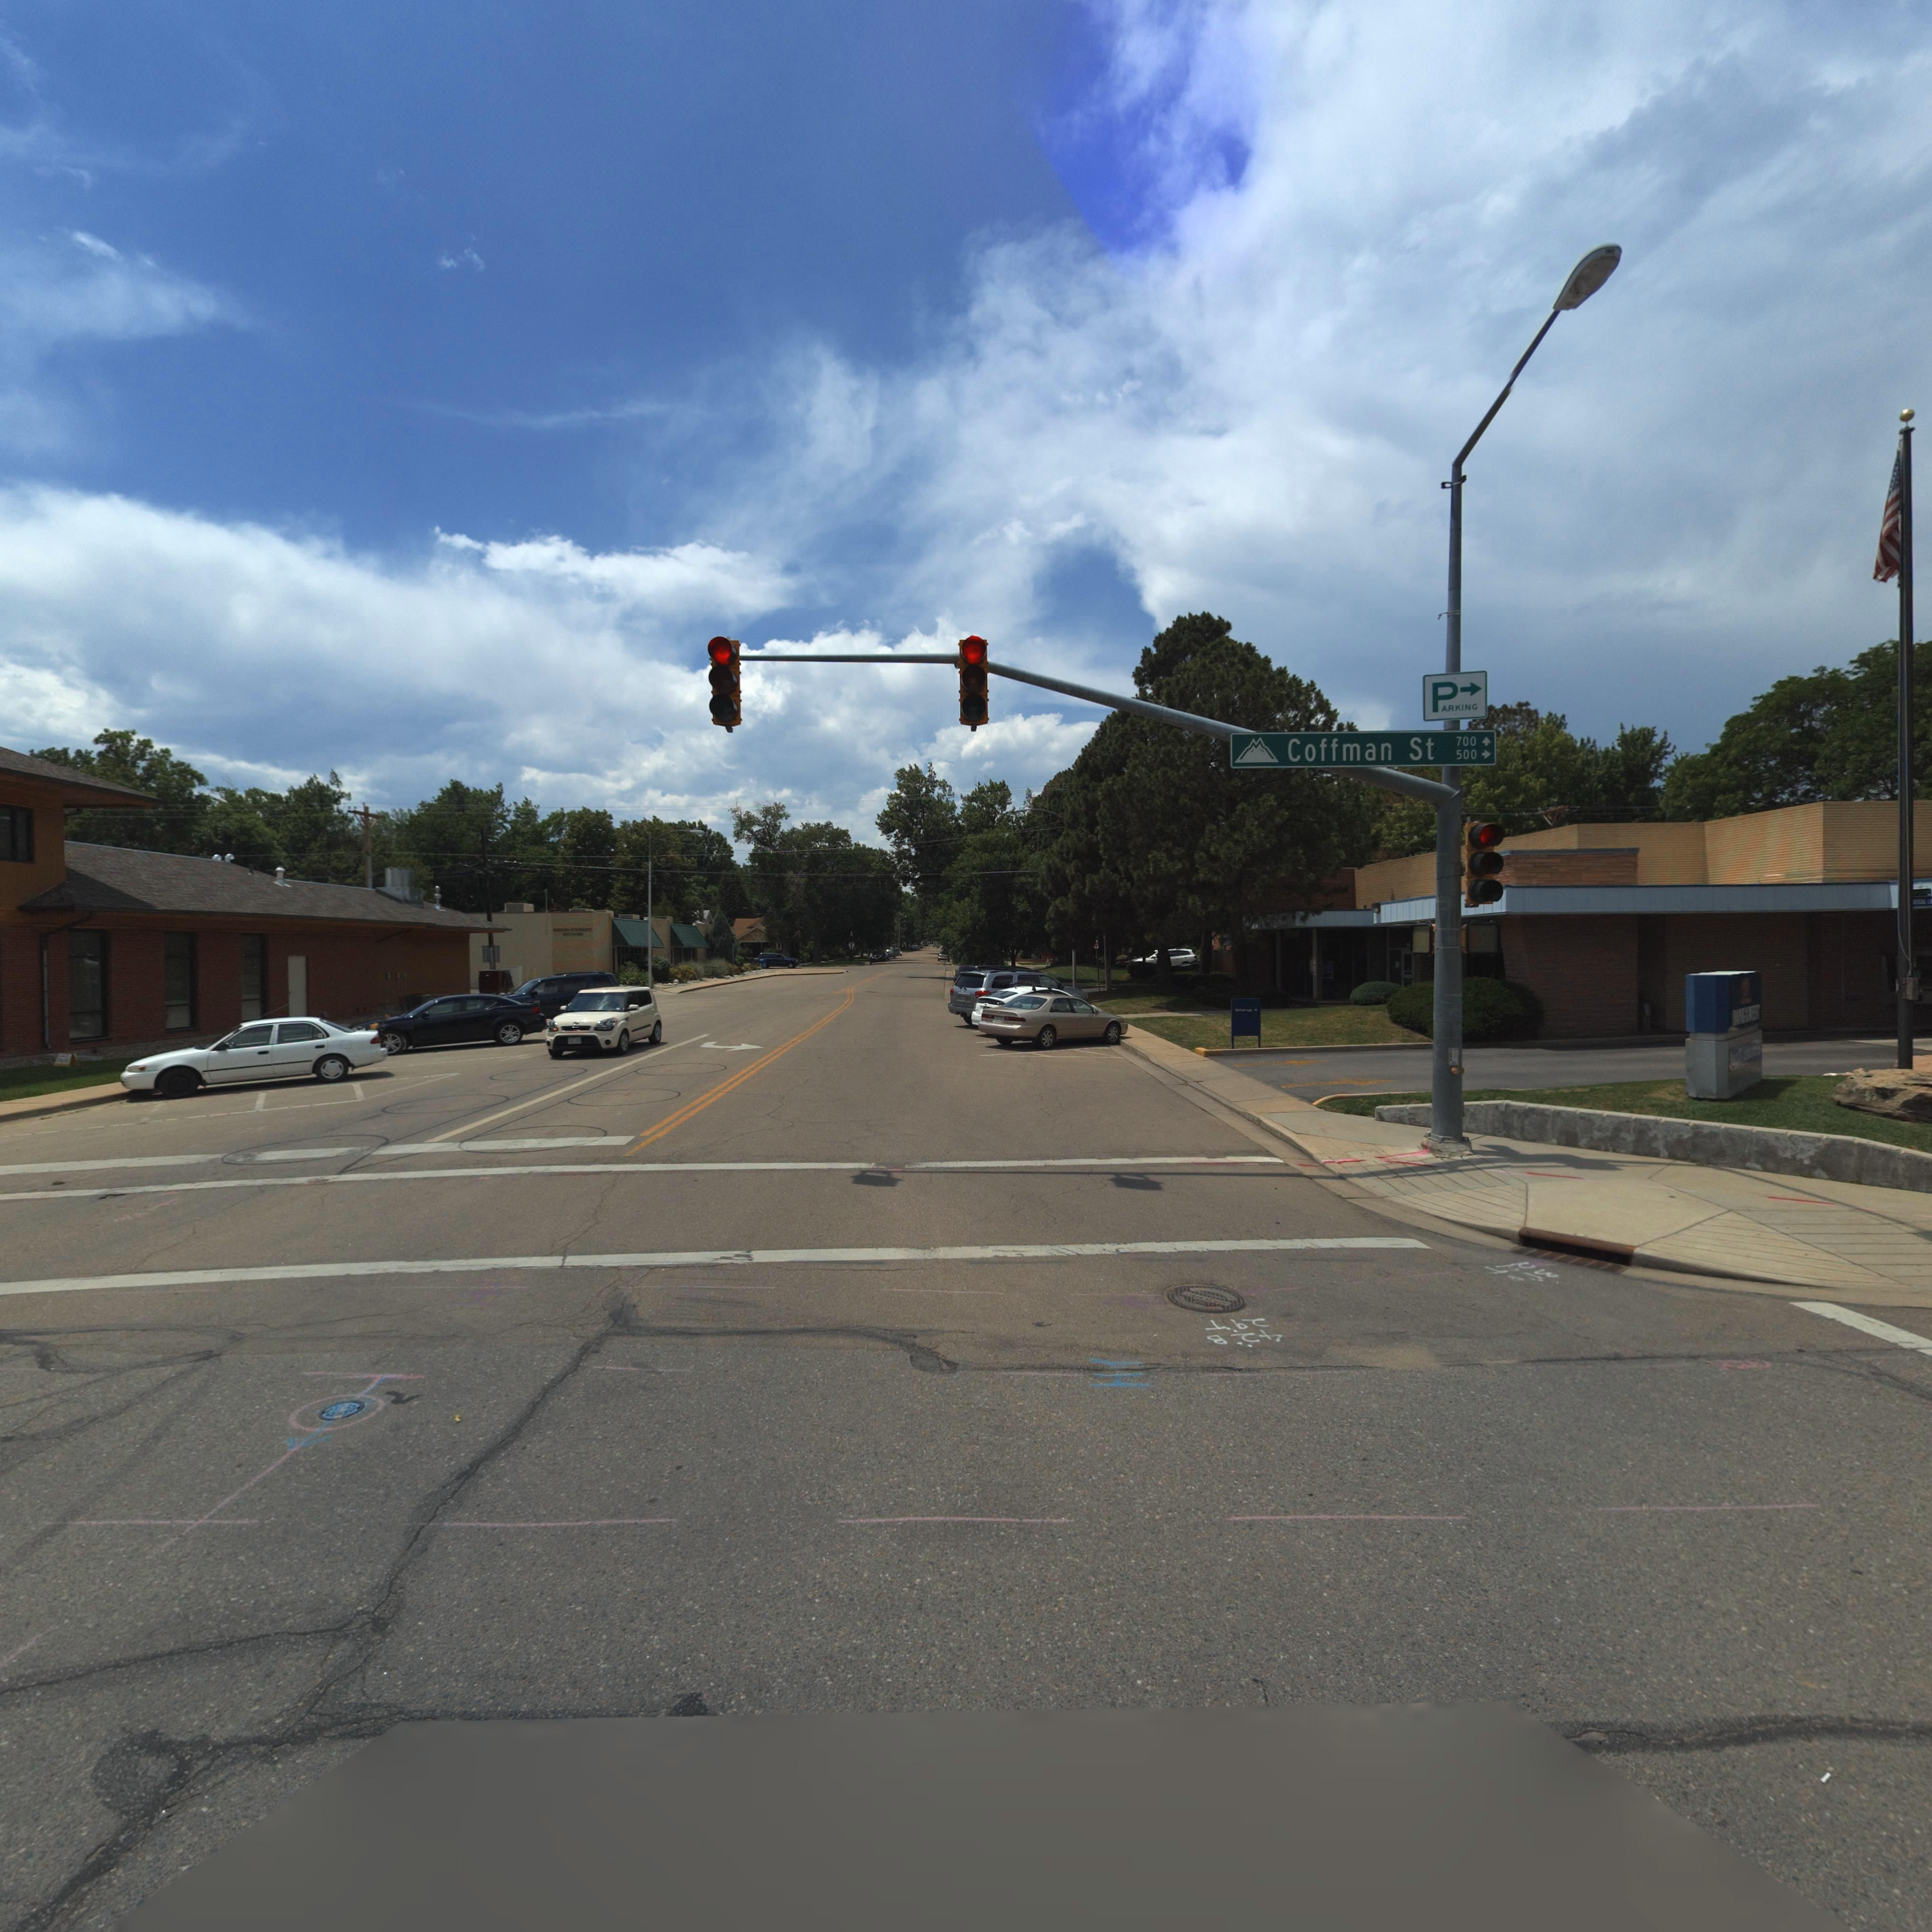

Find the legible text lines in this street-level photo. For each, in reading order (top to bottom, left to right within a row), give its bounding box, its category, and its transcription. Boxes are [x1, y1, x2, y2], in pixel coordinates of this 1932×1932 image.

[1455, 735, 1476, 746] StreetNumberRange: 700
[1287, 737, 1434, 762] StreetName: Coffman St
[1456, 749, 1491, 760] StreetNumberRange: 500->